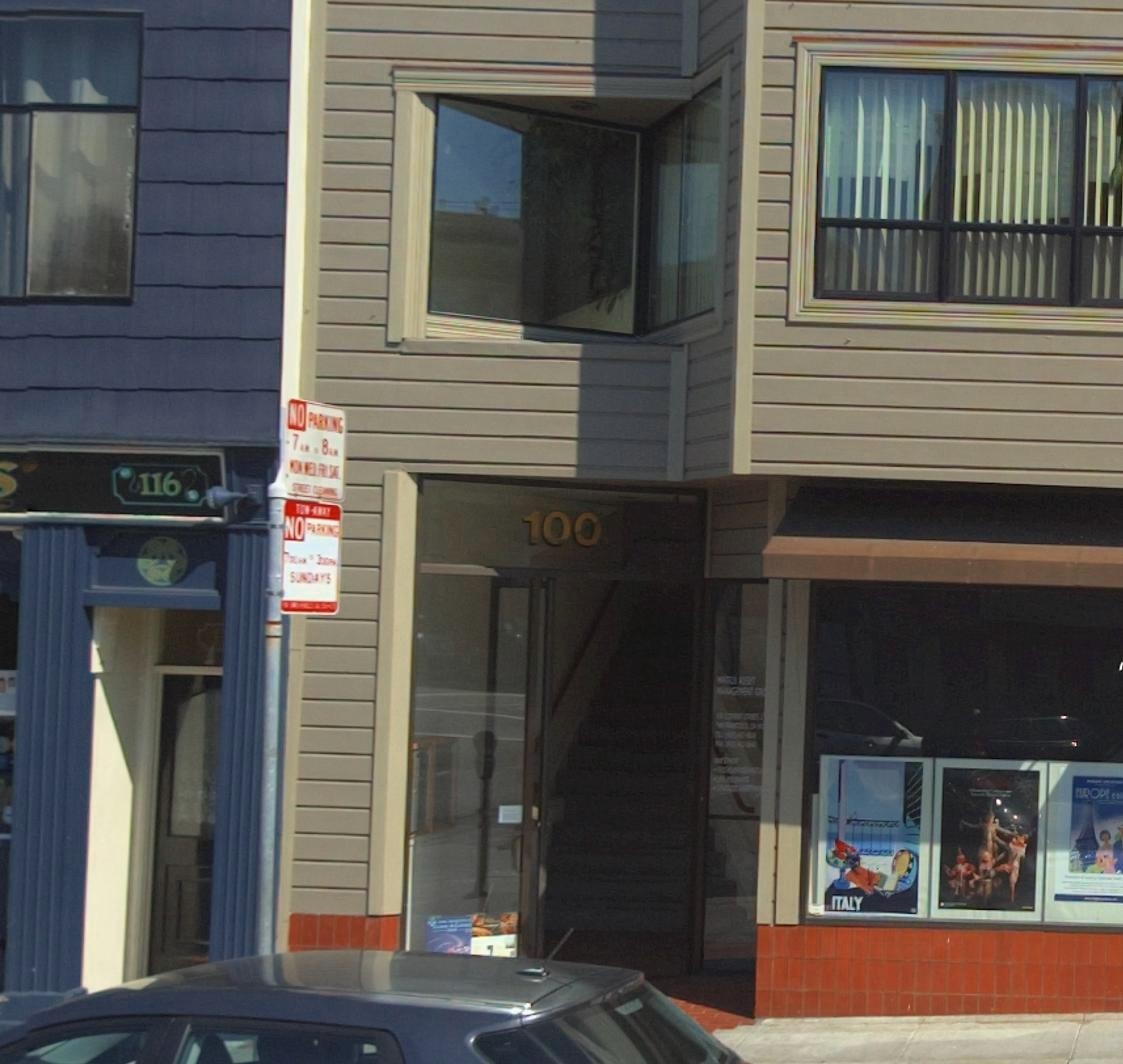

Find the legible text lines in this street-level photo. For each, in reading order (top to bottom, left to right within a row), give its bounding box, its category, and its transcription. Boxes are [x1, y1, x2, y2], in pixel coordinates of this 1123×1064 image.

[287, 400, 345, 437] None: NO PARKING
[289, 432, 340, 460] None: 7AM * 8AM
[137, 470, 184, 497] StreetNumber: 116
[293, 499, 334, 521] None: TOW-AWAY
[283, 513, 340, 544] None: NO PARKING
[518, 509, 603, 549] StreetNumber: 100
[288, 569, 332, 586] None: SUNDAYS
[830, 895, 864, 912] None: ITALY